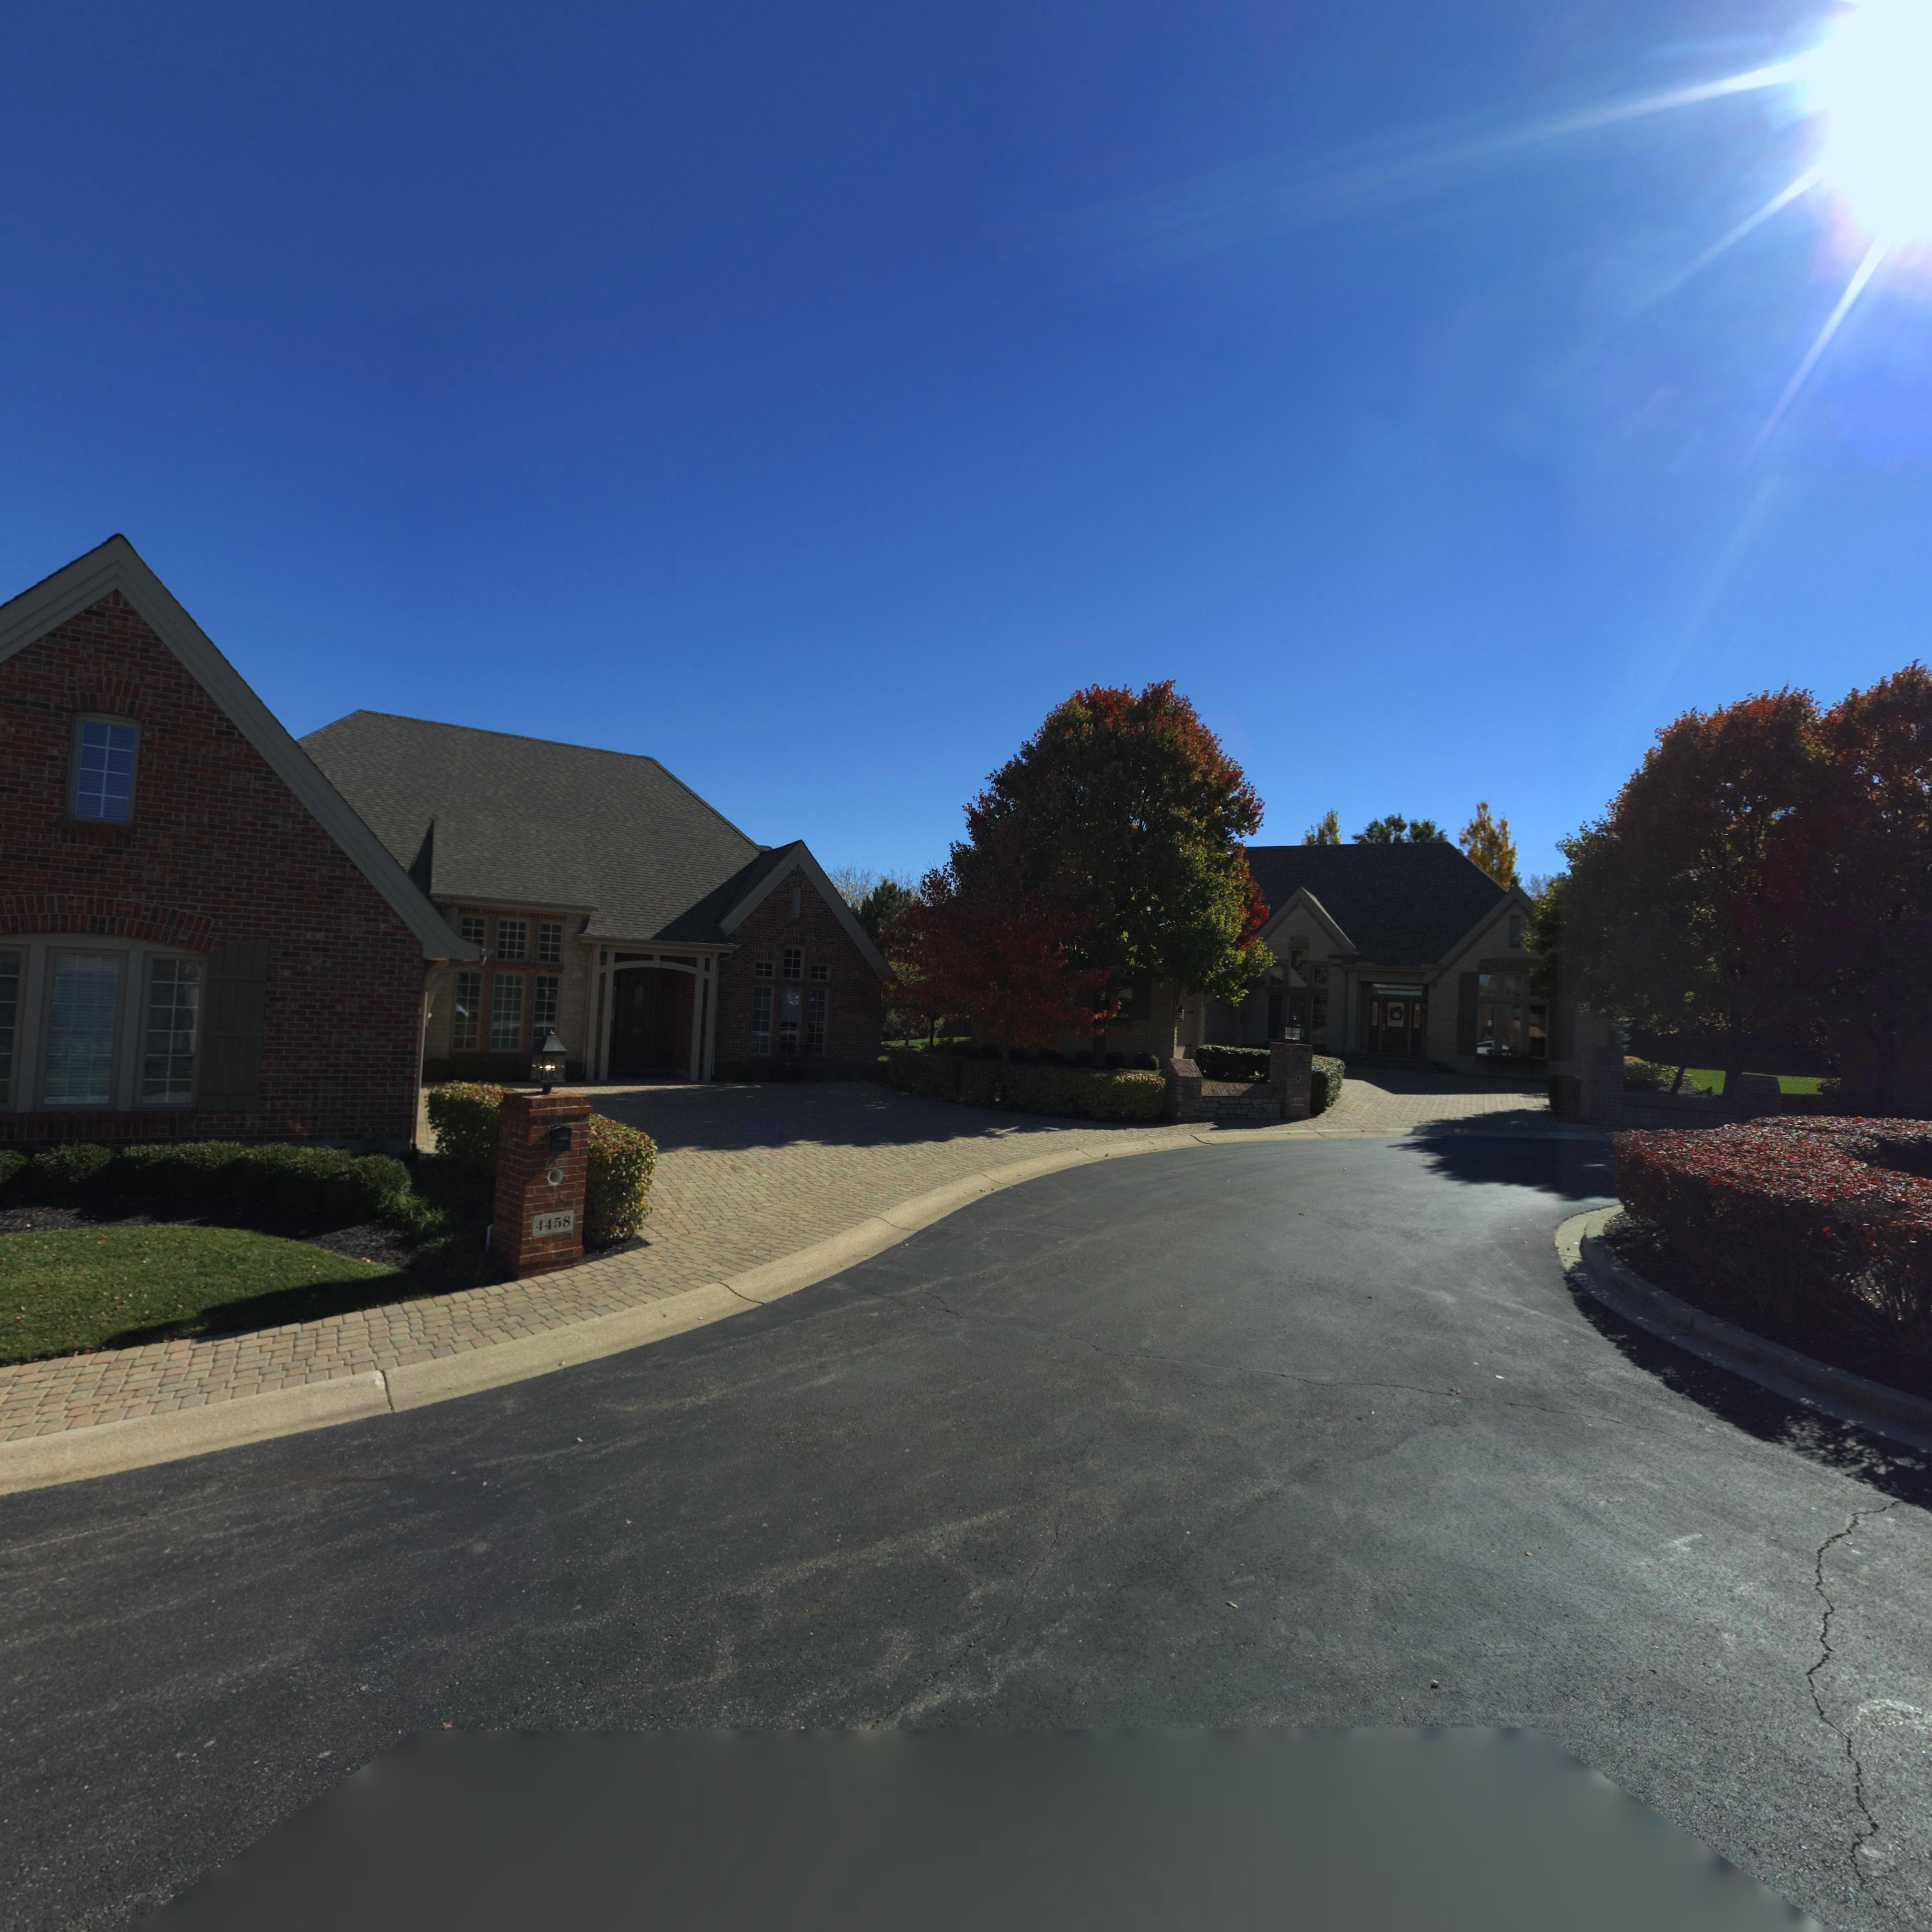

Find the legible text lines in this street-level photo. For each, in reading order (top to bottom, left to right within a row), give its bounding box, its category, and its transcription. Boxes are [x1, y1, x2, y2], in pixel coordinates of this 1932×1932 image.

[534, 1213, 572, 1234] StreetNumber: 4458